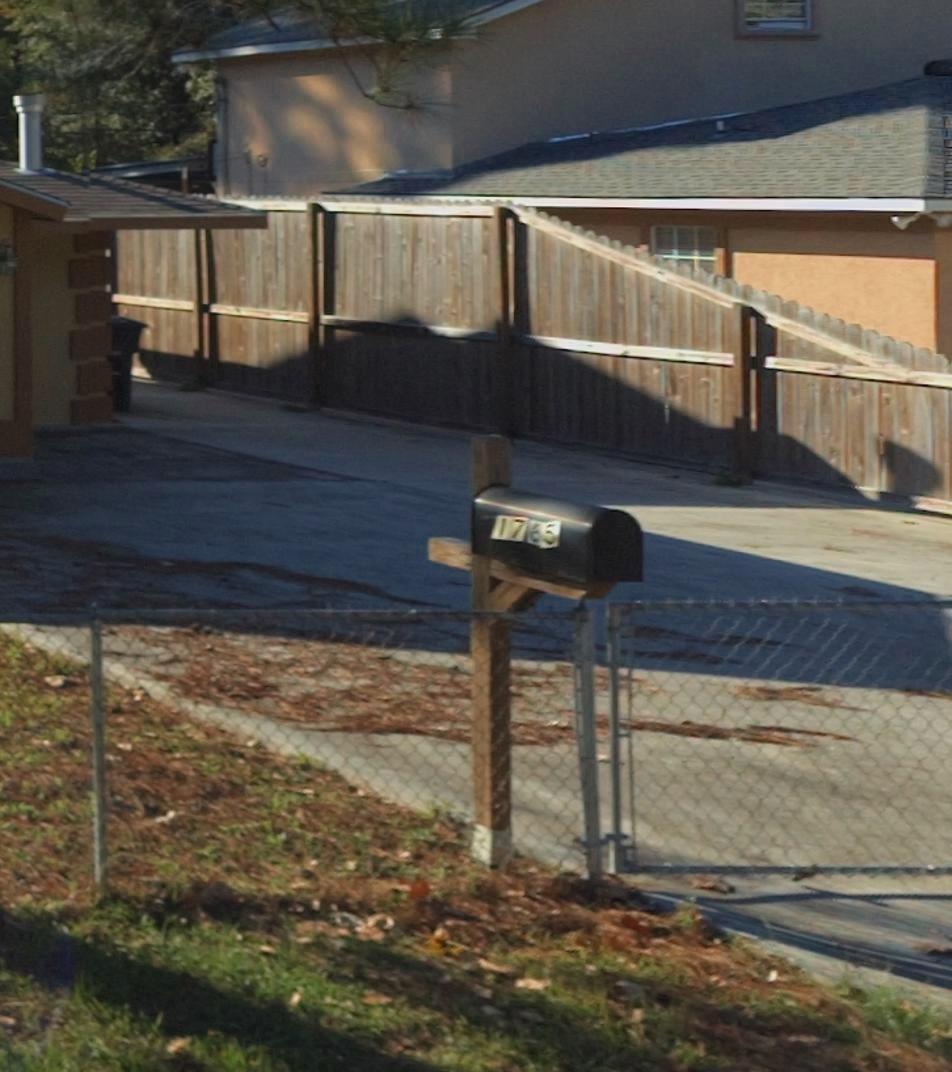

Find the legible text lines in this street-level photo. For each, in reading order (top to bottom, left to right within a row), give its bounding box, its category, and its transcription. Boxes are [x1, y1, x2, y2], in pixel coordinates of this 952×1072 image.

[496, 514, 559, 546] StreetNumber: 1765